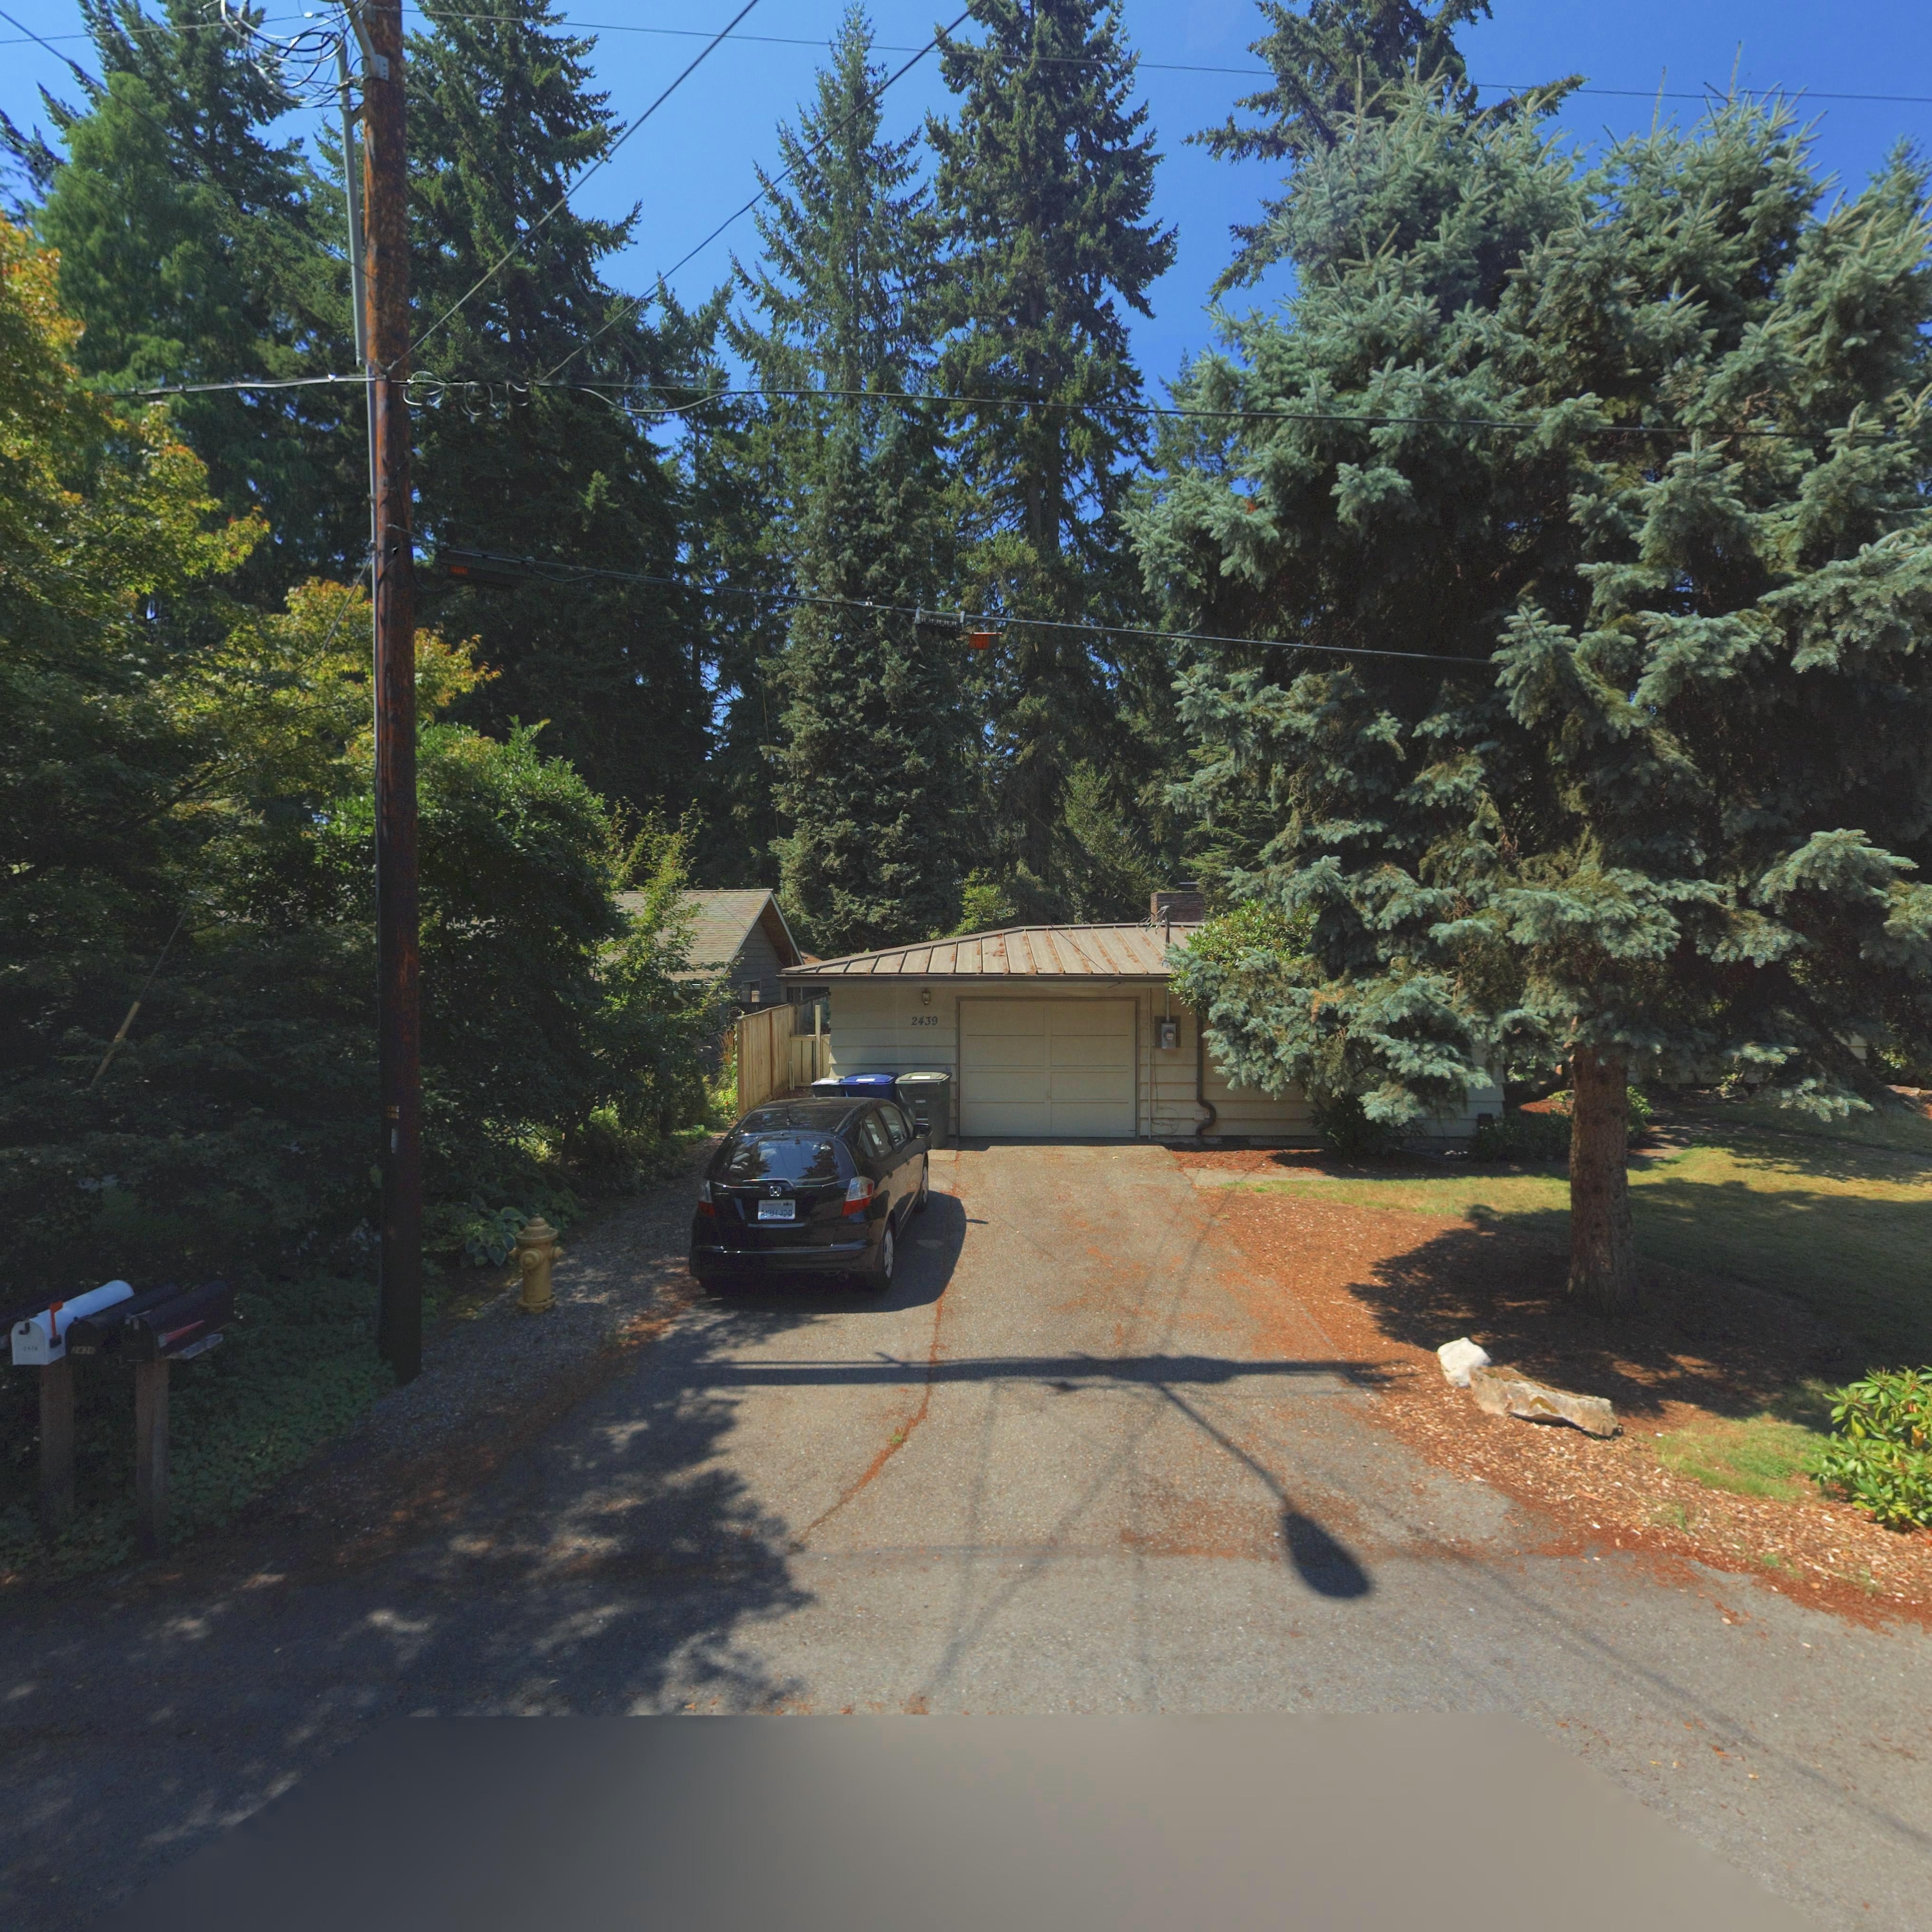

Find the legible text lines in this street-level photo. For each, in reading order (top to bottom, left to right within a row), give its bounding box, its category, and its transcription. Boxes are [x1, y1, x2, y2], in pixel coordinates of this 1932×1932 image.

[911, 1016, 938, 1025] StreetNumber: 2439